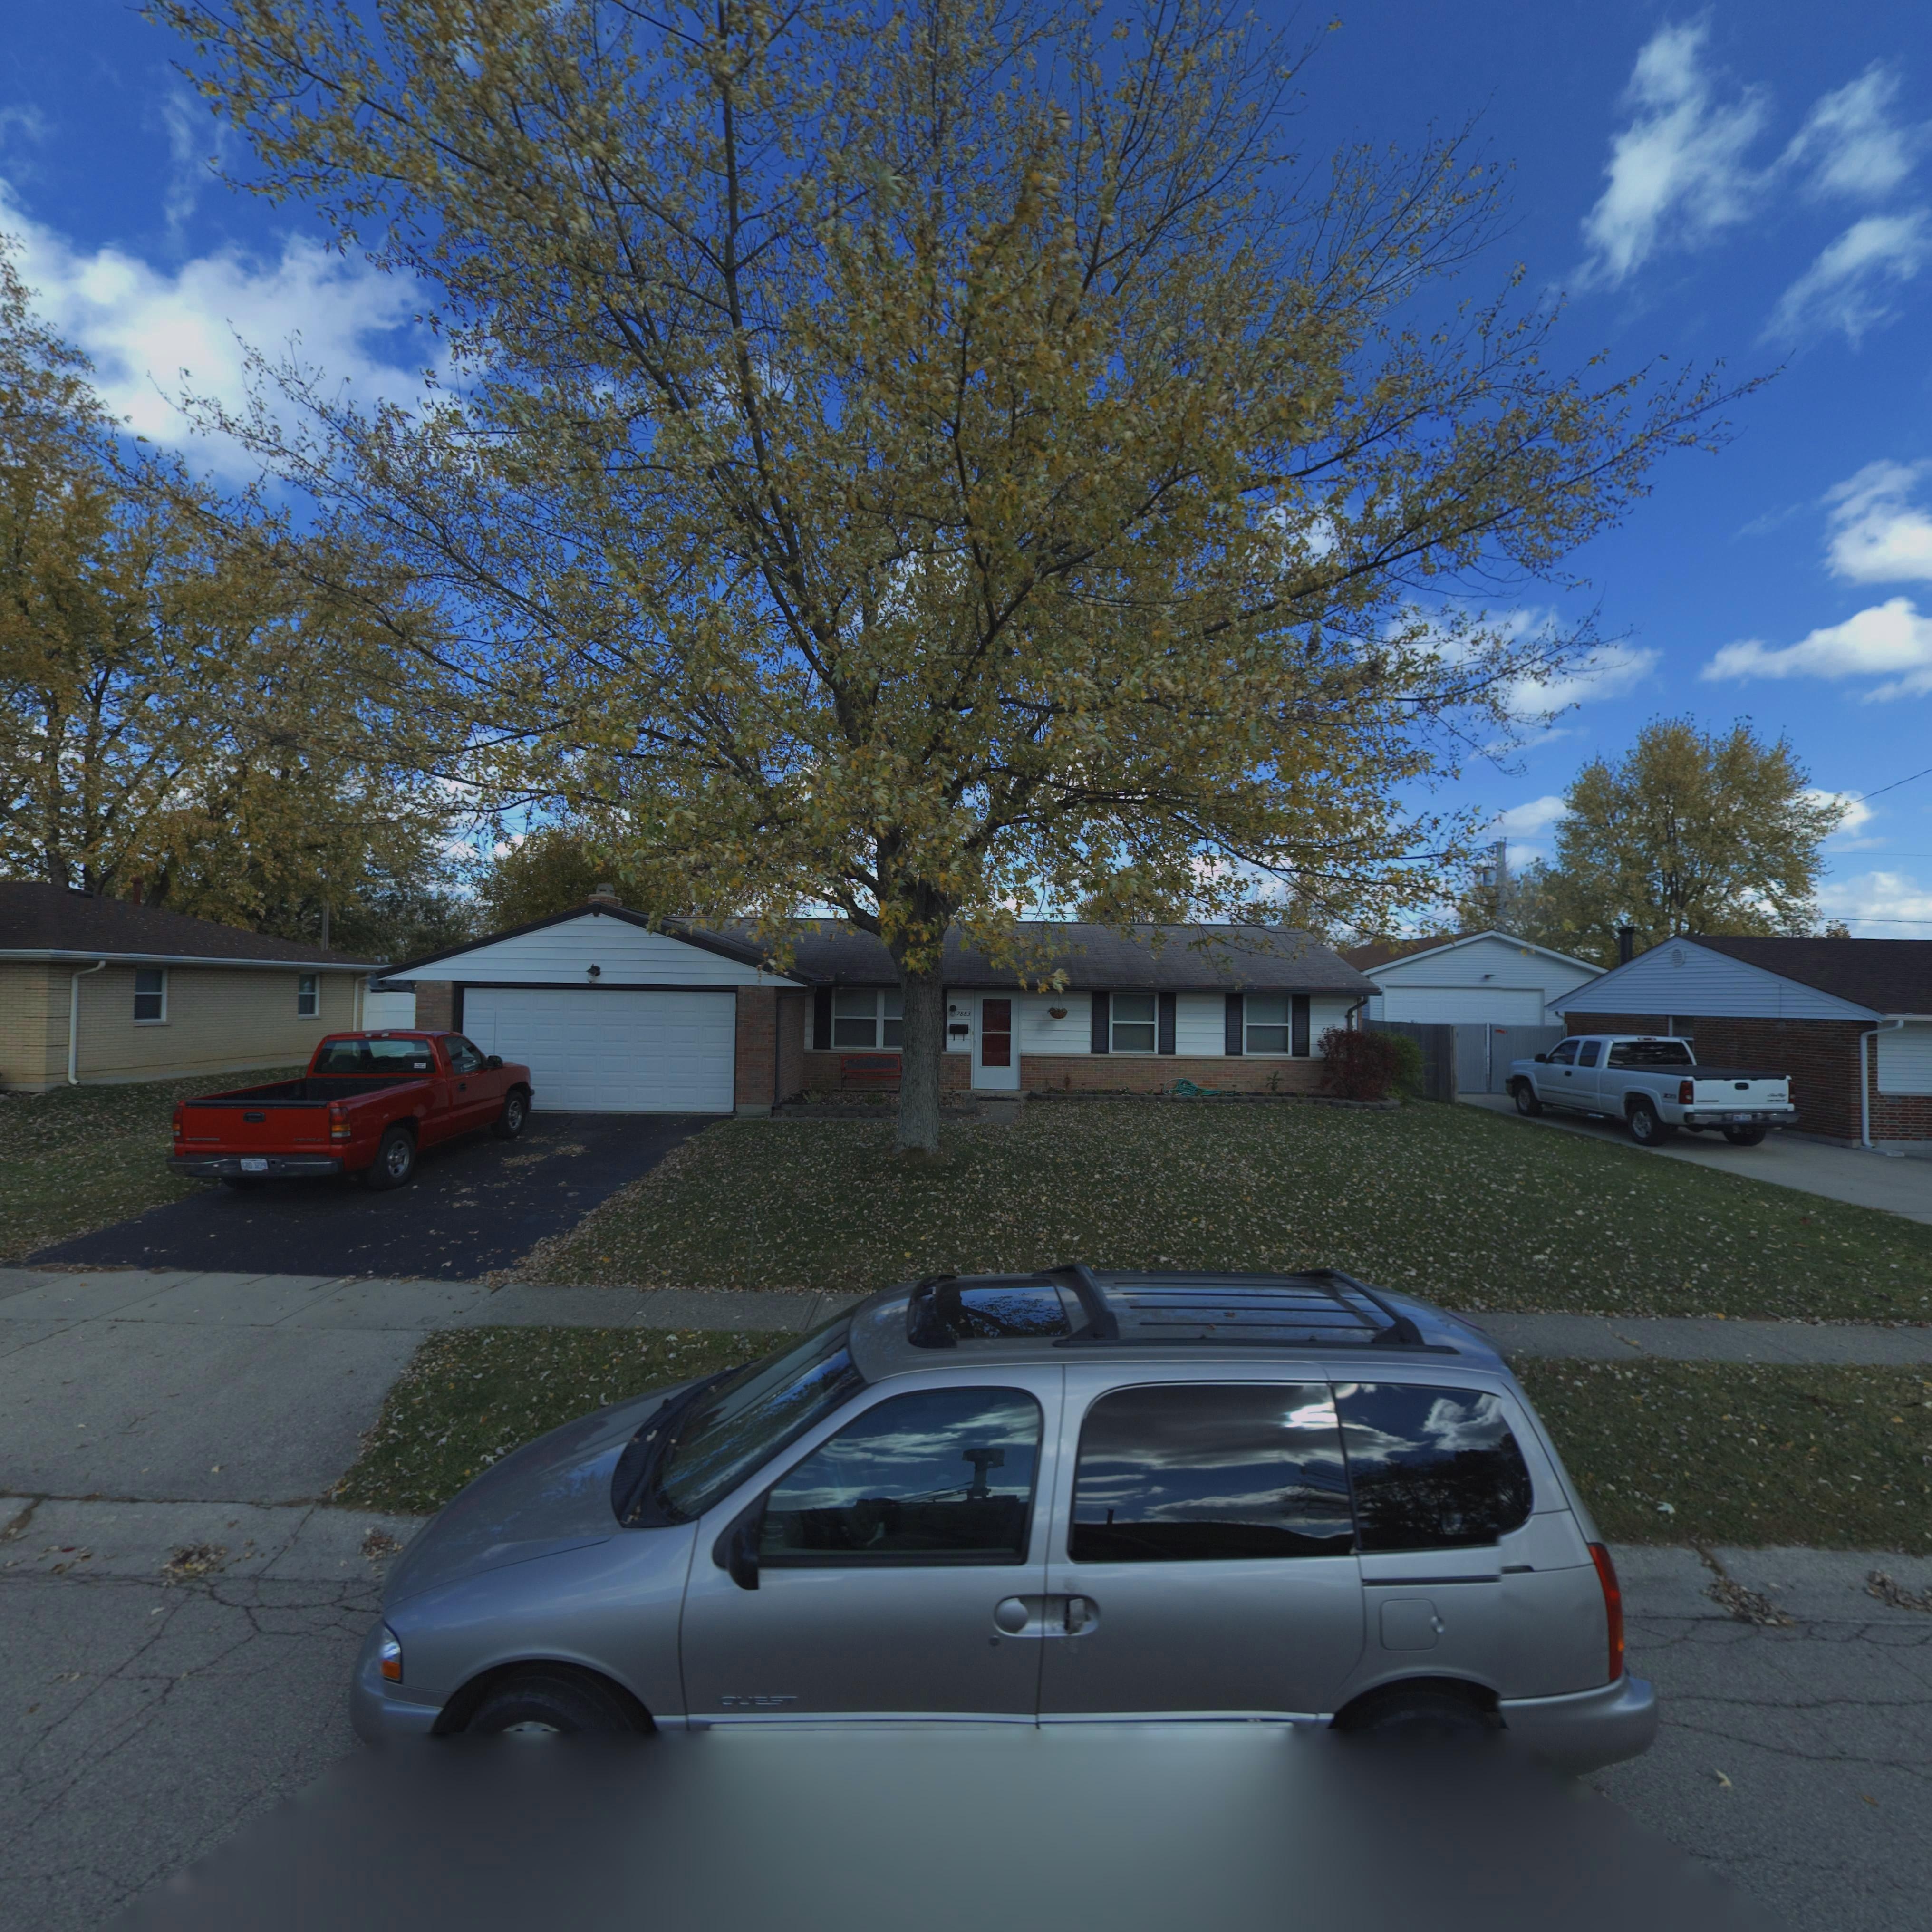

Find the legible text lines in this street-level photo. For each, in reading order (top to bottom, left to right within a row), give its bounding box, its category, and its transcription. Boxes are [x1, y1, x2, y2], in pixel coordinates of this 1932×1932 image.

[956, 1010, 971, 1017] StreetNumber: 7883